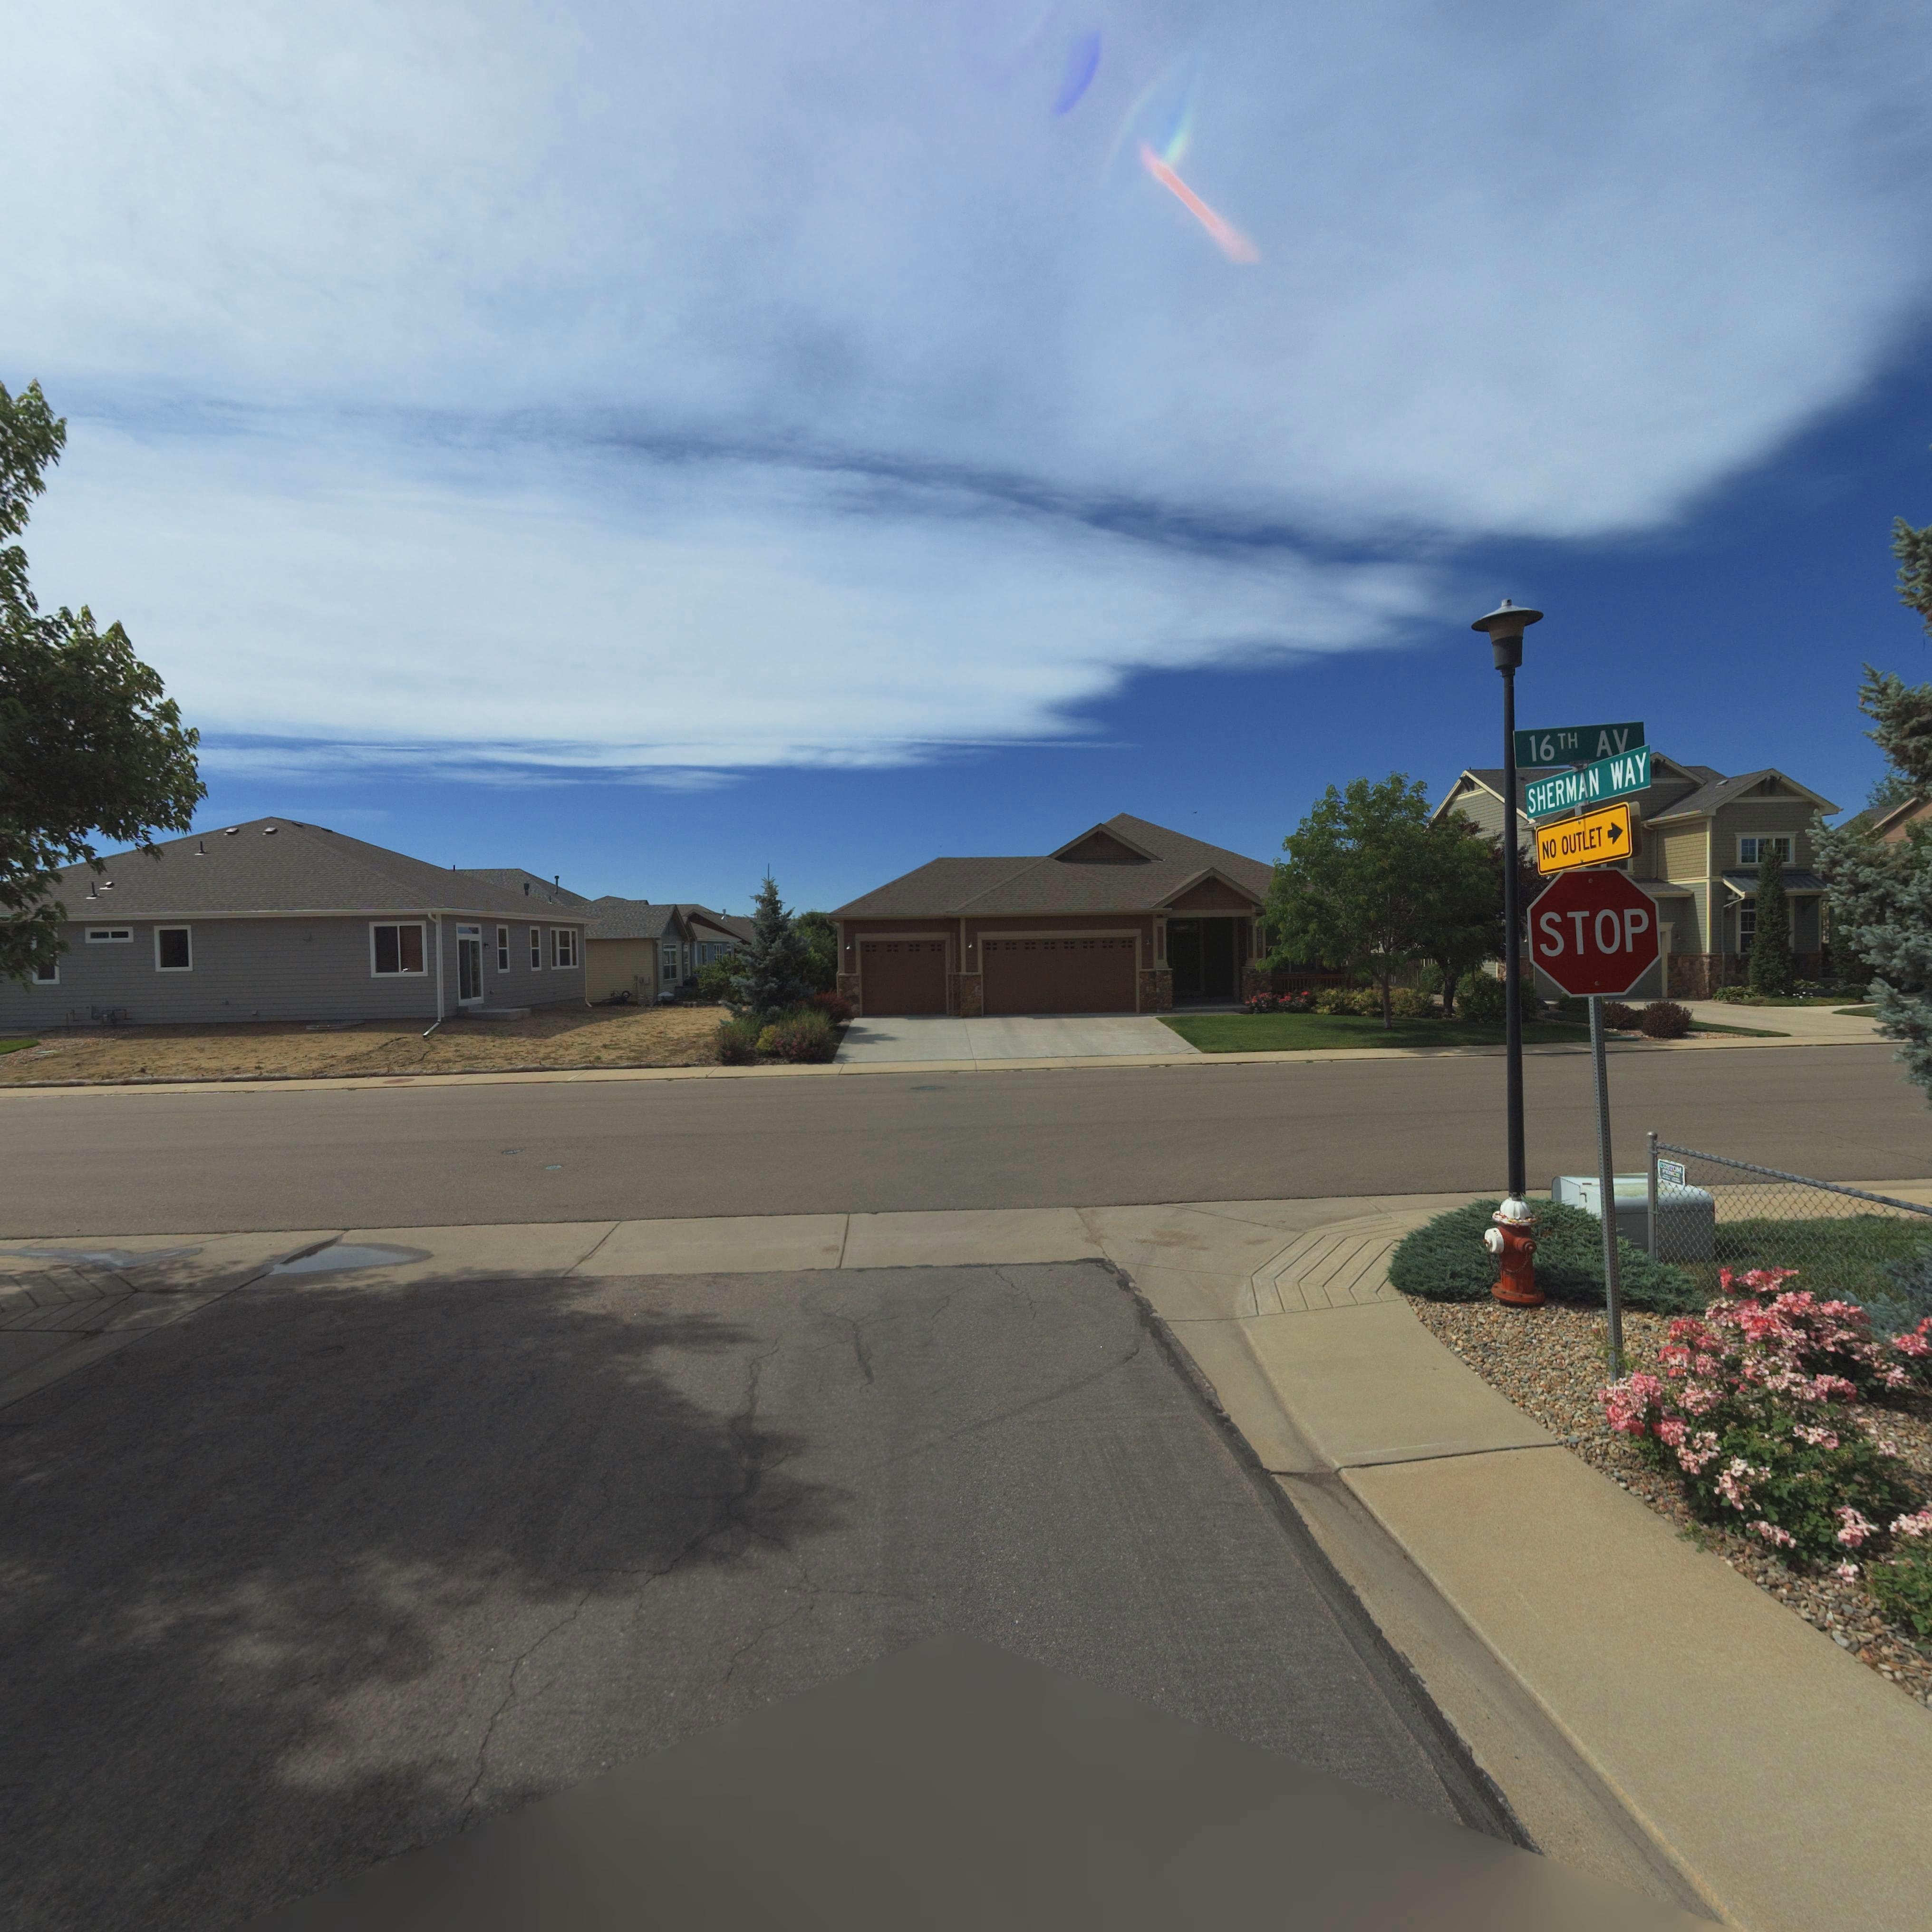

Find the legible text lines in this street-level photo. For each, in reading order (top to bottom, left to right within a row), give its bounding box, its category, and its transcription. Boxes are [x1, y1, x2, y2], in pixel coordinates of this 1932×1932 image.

[1529, 727, 1629, 762] StreetName: 16TH AV
[1528, 751, 1647, 814] StreetName: SHERMAN WAY
[1257, 927, 1262, 947] StreetNumber: 140*